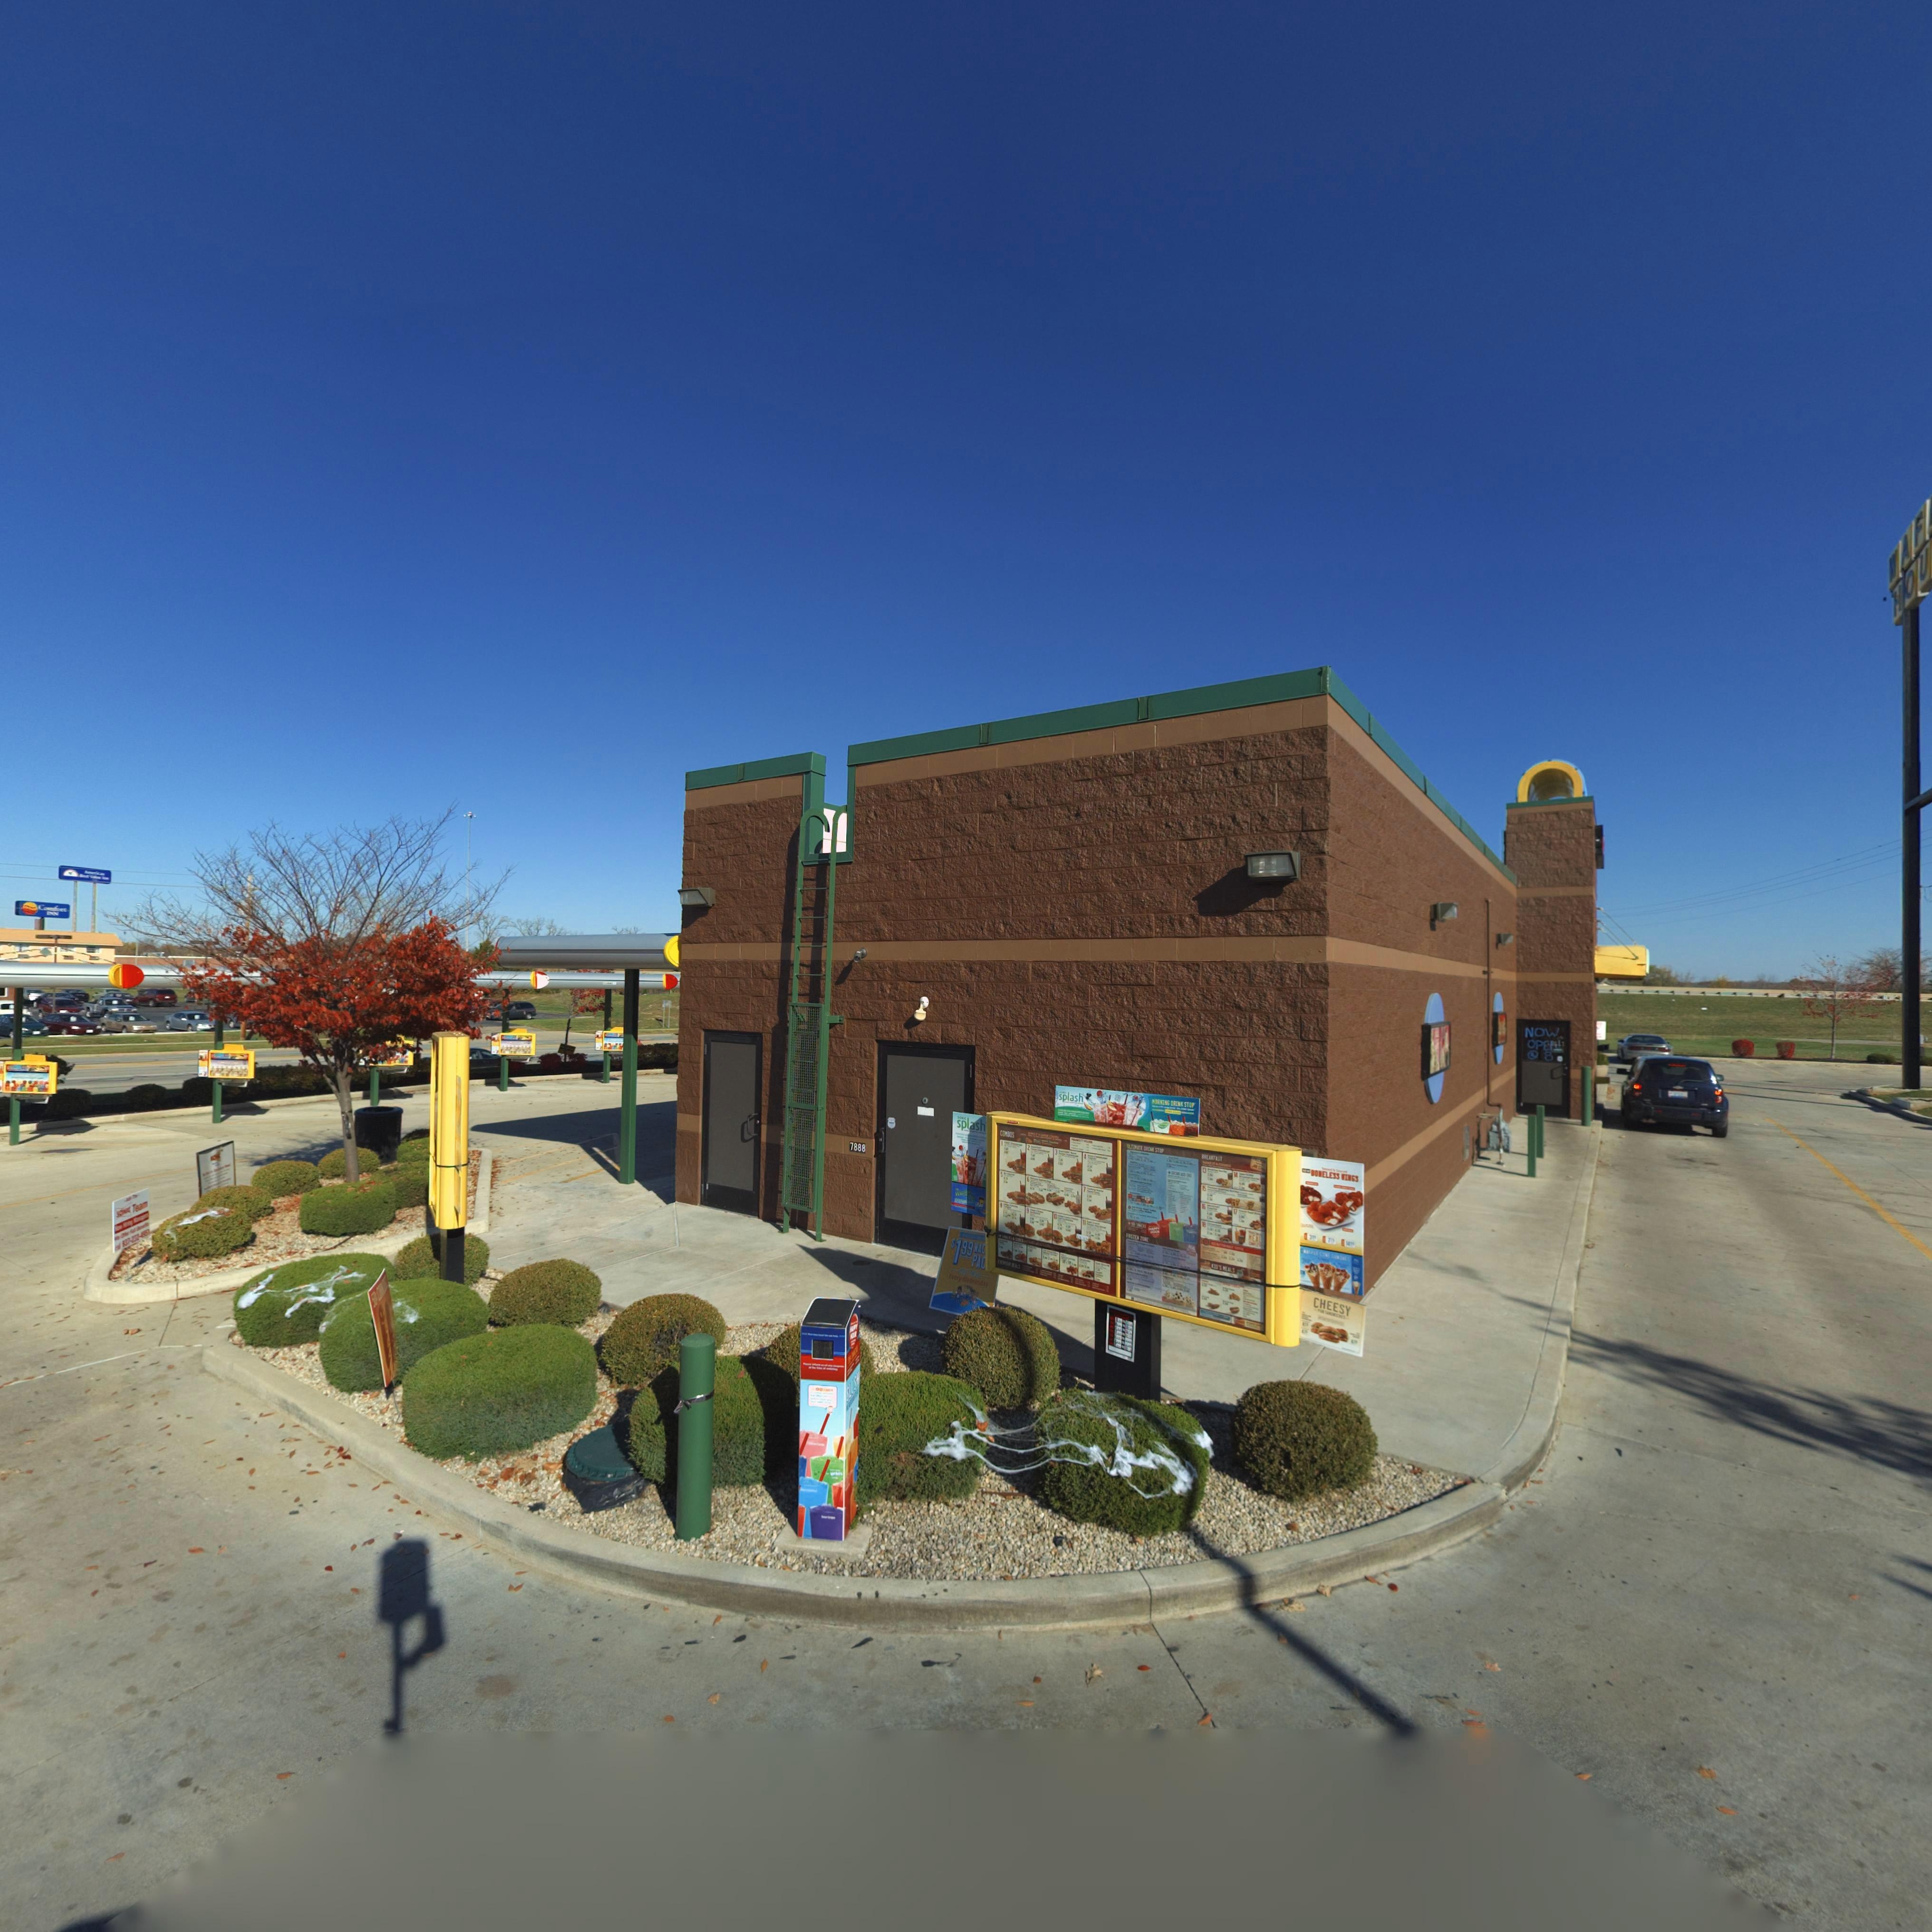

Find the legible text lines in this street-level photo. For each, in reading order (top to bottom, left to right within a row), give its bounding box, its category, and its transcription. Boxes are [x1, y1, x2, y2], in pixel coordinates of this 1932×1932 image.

[849, 1141, 866, 1153] StreetNumber: 7888